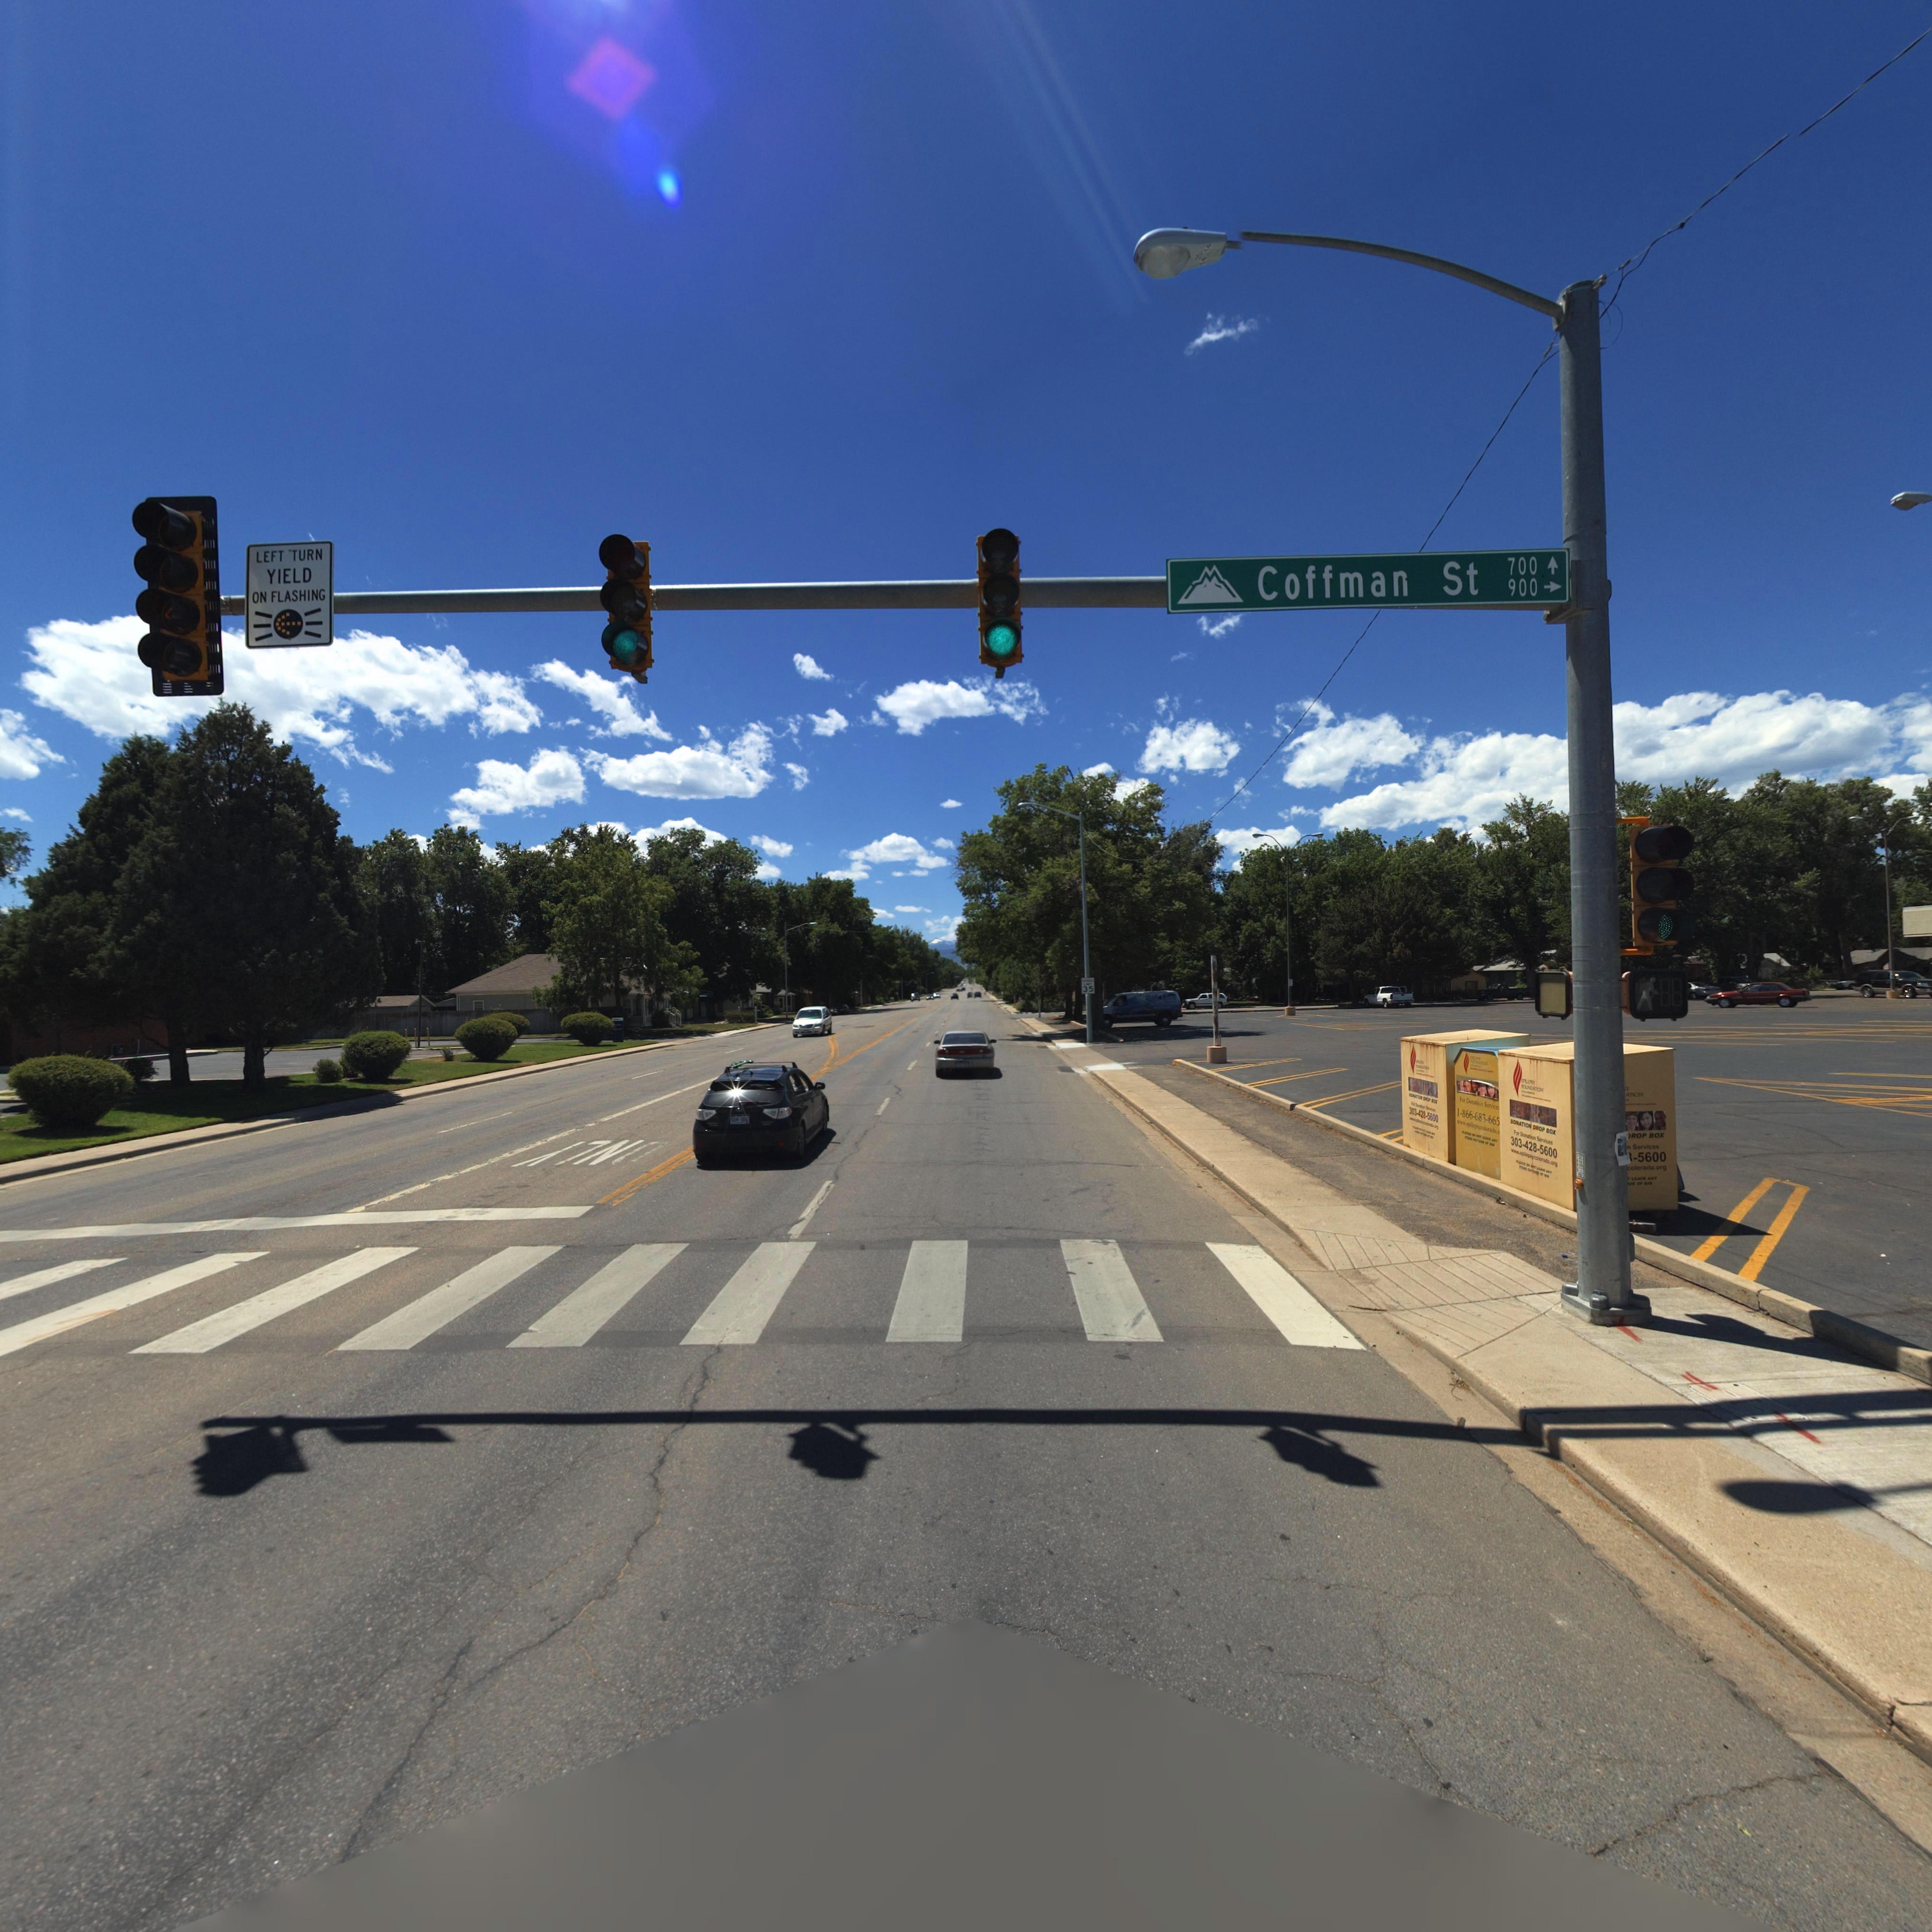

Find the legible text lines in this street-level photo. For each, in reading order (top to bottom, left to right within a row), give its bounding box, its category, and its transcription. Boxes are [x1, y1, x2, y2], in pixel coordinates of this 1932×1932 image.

[1507, 557, 1537, 576] StreetNumberRange: 700
[1256, 559, 1479, 602] StreetName: Coffman St
[1507, 578, 1562, 597] StreetNumberRange: 900 ->